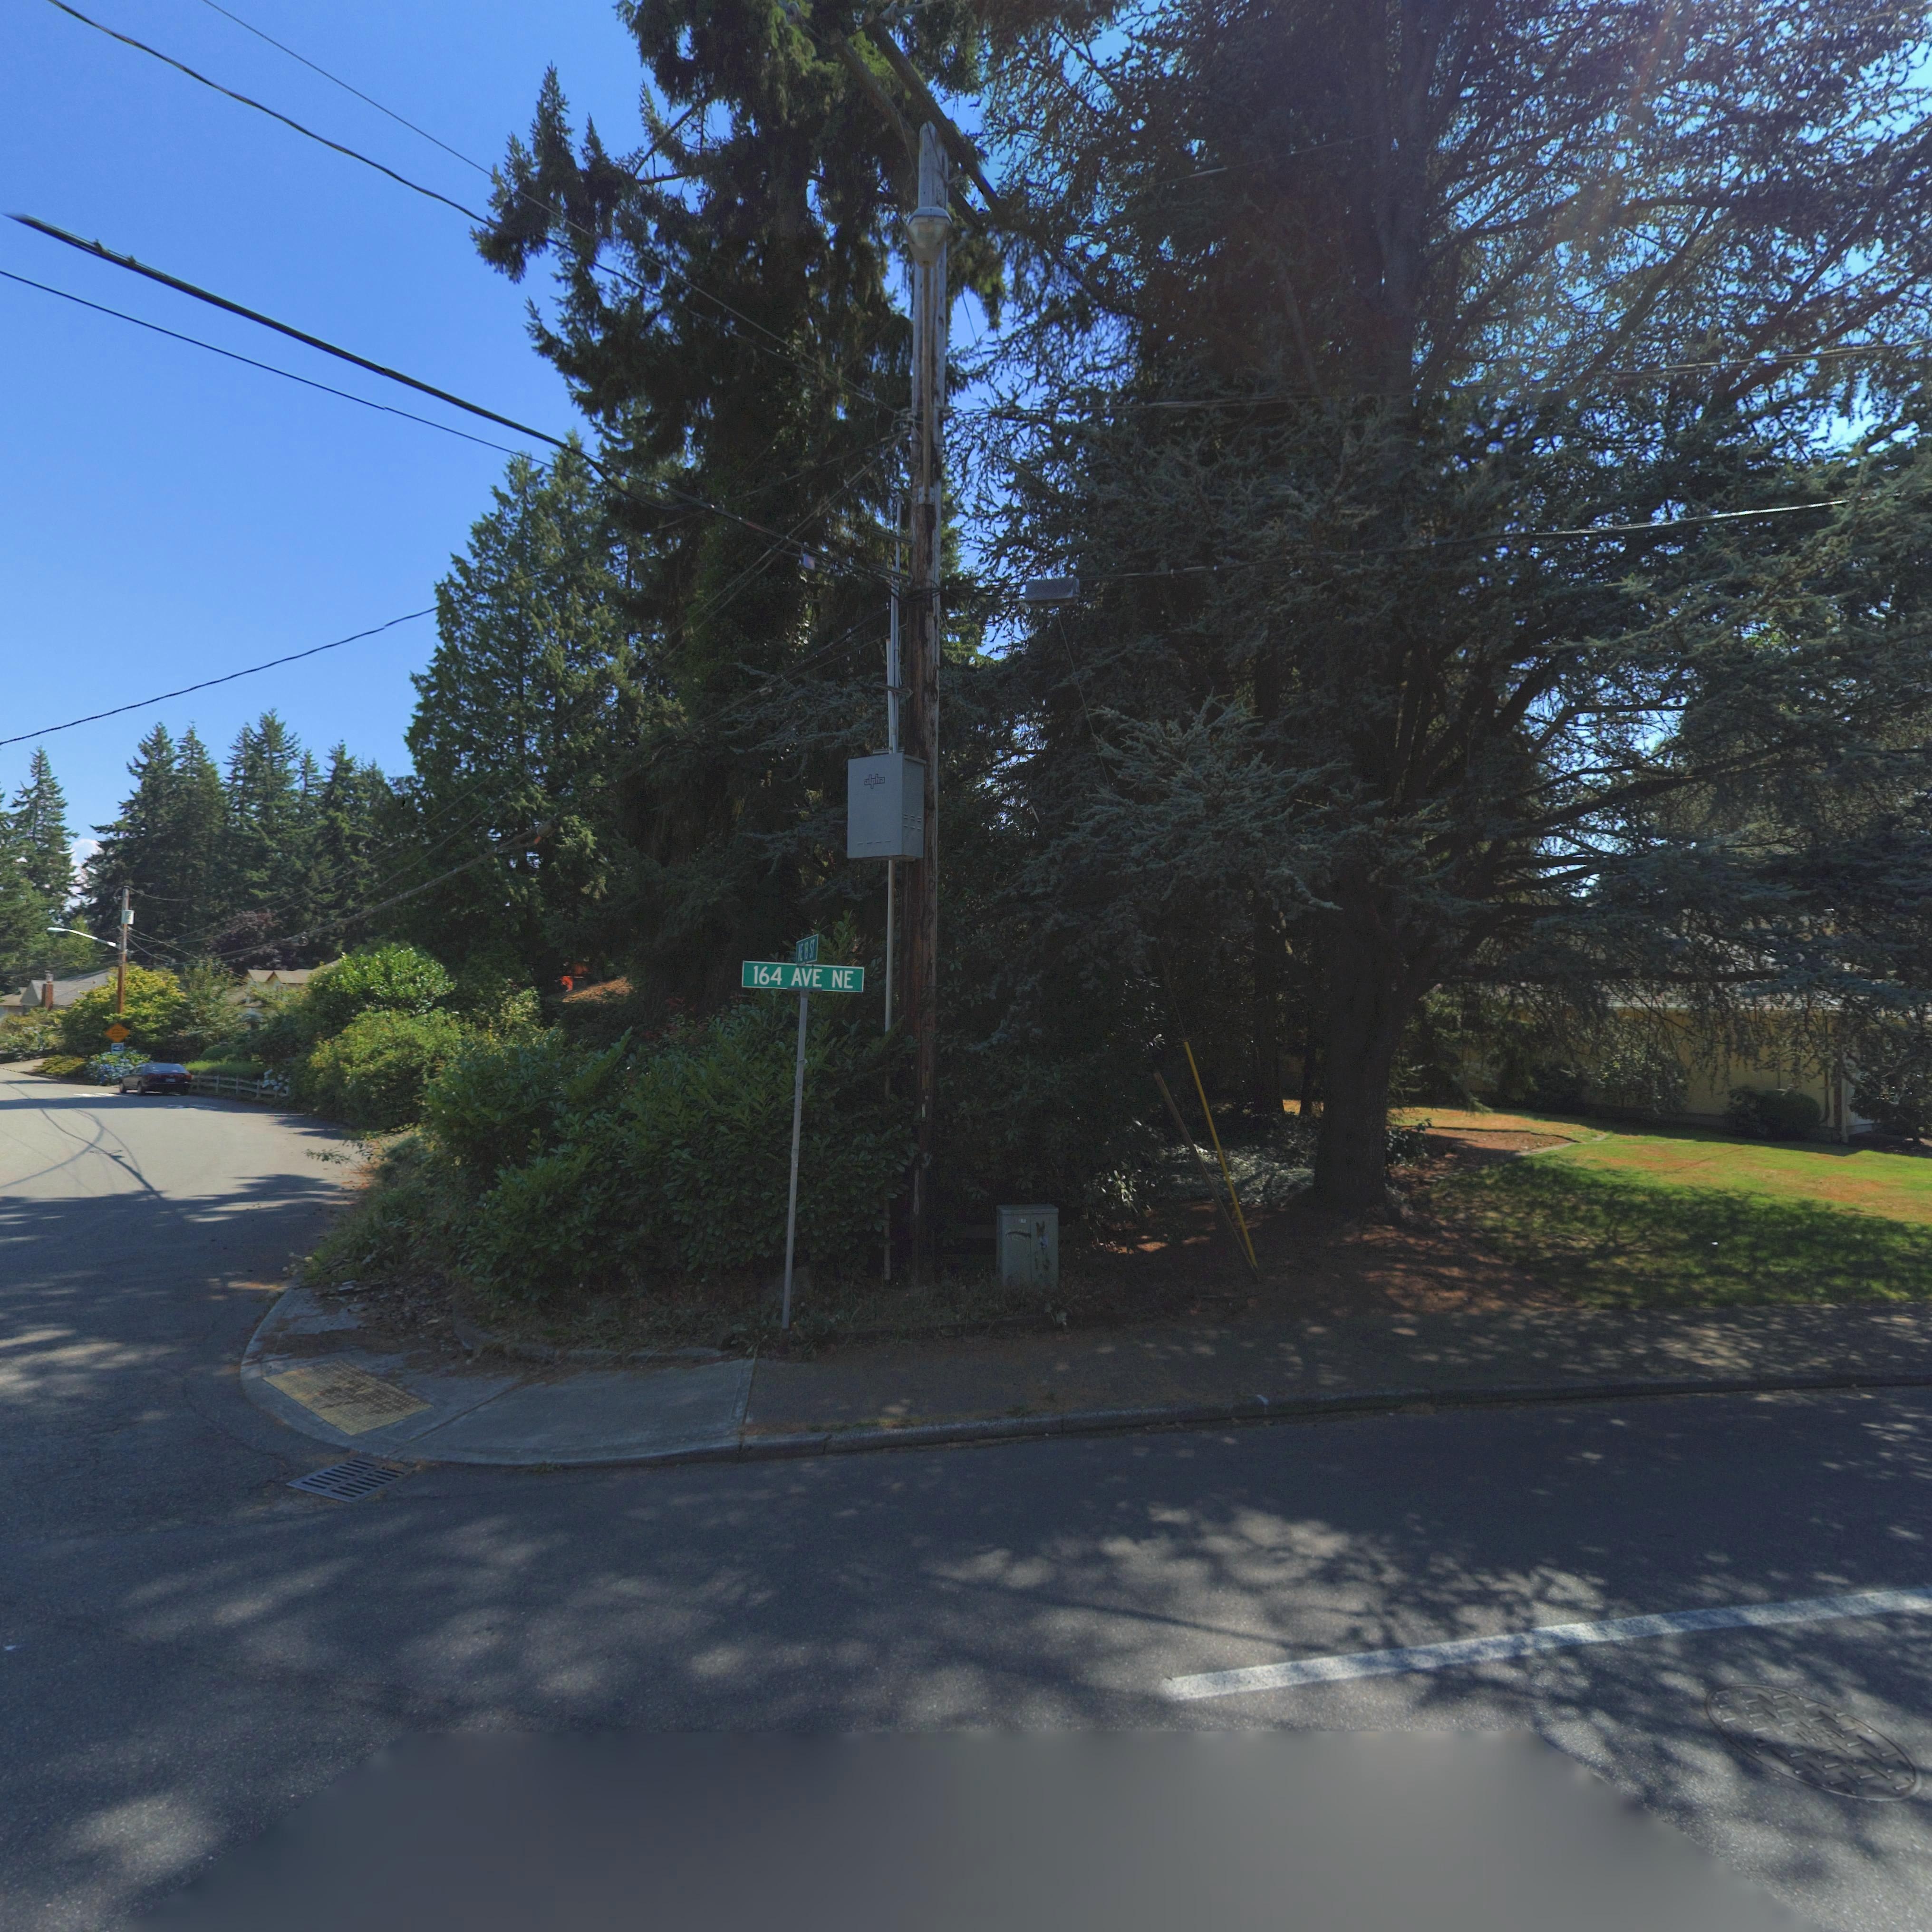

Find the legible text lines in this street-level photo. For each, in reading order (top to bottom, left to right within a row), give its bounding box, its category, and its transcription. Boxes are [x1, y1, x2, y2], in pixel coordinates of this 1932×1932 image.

[752, 963, 855, 991] StreetName: 164 AVE NE